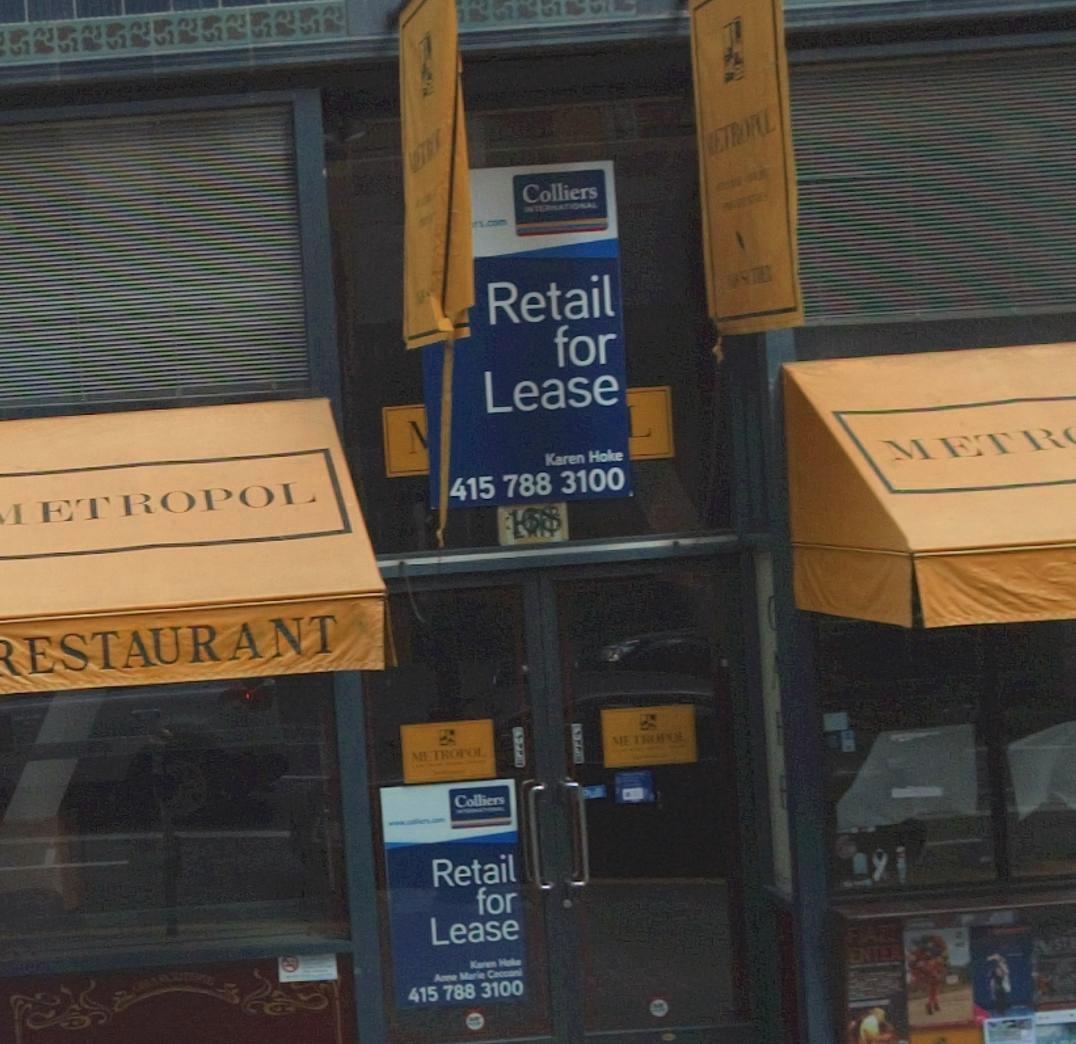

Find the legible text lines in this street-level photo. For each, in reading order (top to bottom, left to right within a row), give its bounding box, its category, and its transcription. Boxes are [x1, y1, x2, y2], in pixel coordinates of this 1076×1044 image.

[709, 102, 782, 160] BusinessName: ETROPOL
[518, 176, 601, 207] None: Colliers
[480, 267, 621, 331] None: Retail
[550, 314, 623, 374] None: for
[479, 365, 627, 421] None: Lease
[540, 444, 629, 472] None: Karen Hoke
[875, 422, 1073, 466] BusinessName: METR
[36, 472, 329, 530] BusinessName: ETROPOL
[446, 463, 631, 508] None: 415 788 3100
[505, 502, 564, 544] StreetNumber: 168
[19, 610, 346, 680] BusinessName: ESTAURANT
[406, 743, 492, 765] BusinessName: METROPOL
[514, 729, 527, 762] None: PULL
[572, 724, 583, 757] None: PULL
[608, 729, 691, 750] BusinessName: METROPOL
[450, 790, 511, 813] None: Colliers
[578, 783, 606, 803] None: Pull
[425, 846, 522, 894] None: Retail
[470, 881, 521, 921] None: for
[422, 913, 524, 951] None: Lease
[405, 976, 530, 1009] None: 415 788 3100